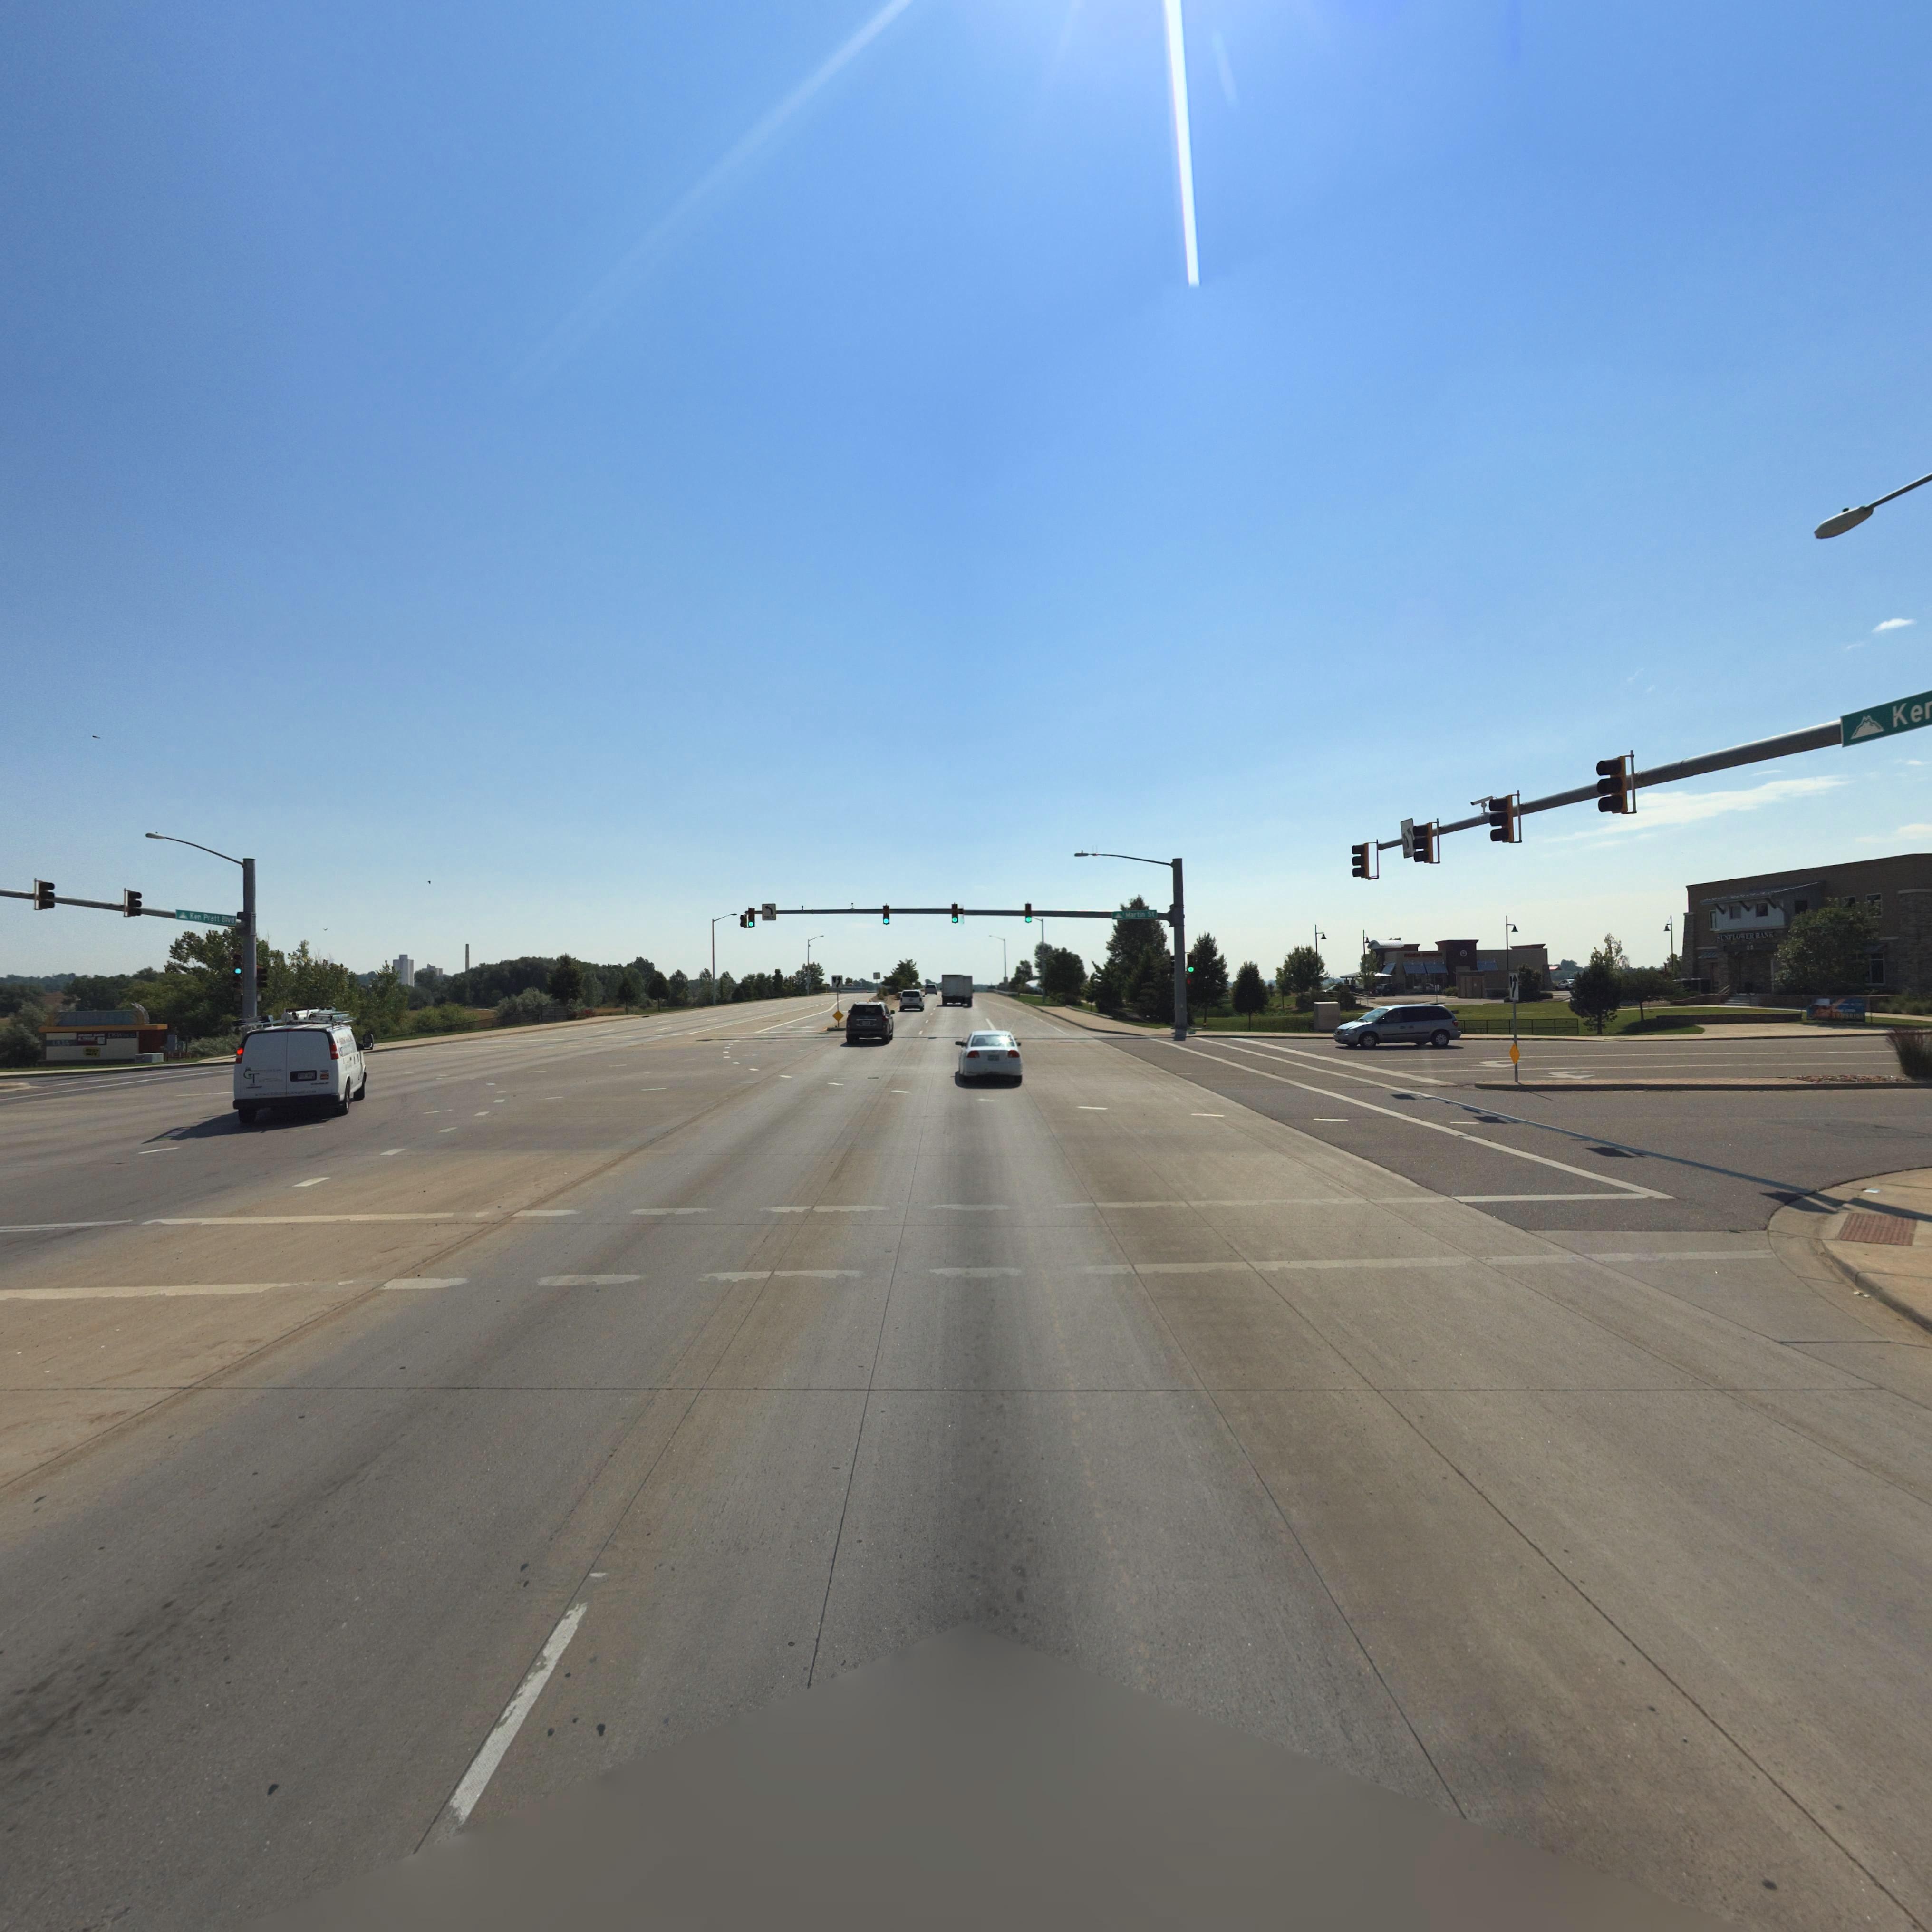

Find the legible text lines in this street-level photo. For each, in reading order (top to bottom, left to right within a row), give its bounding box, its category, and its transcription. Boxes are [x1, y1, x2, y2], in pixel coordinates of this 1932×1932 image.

[1892, 702, 1924, 728] StreetName: Ke
[189, 912, 235, 924] StreetName: Ken Pratt Blvd
[1125, 910, 1155, 918] StreetName: Martin St
[1716, 931, 1774, 942] BusinessName: SUNFLOWER BANK
[1746, 944, 1754, 950] StreetNumber: 2*
[108, 1032, 125, 1038] BusinessName: DSW
[53, 1039, 70, 1046] BusinessName: ULTA
[86, 1051, 98, 1056] BusinessName: BUY